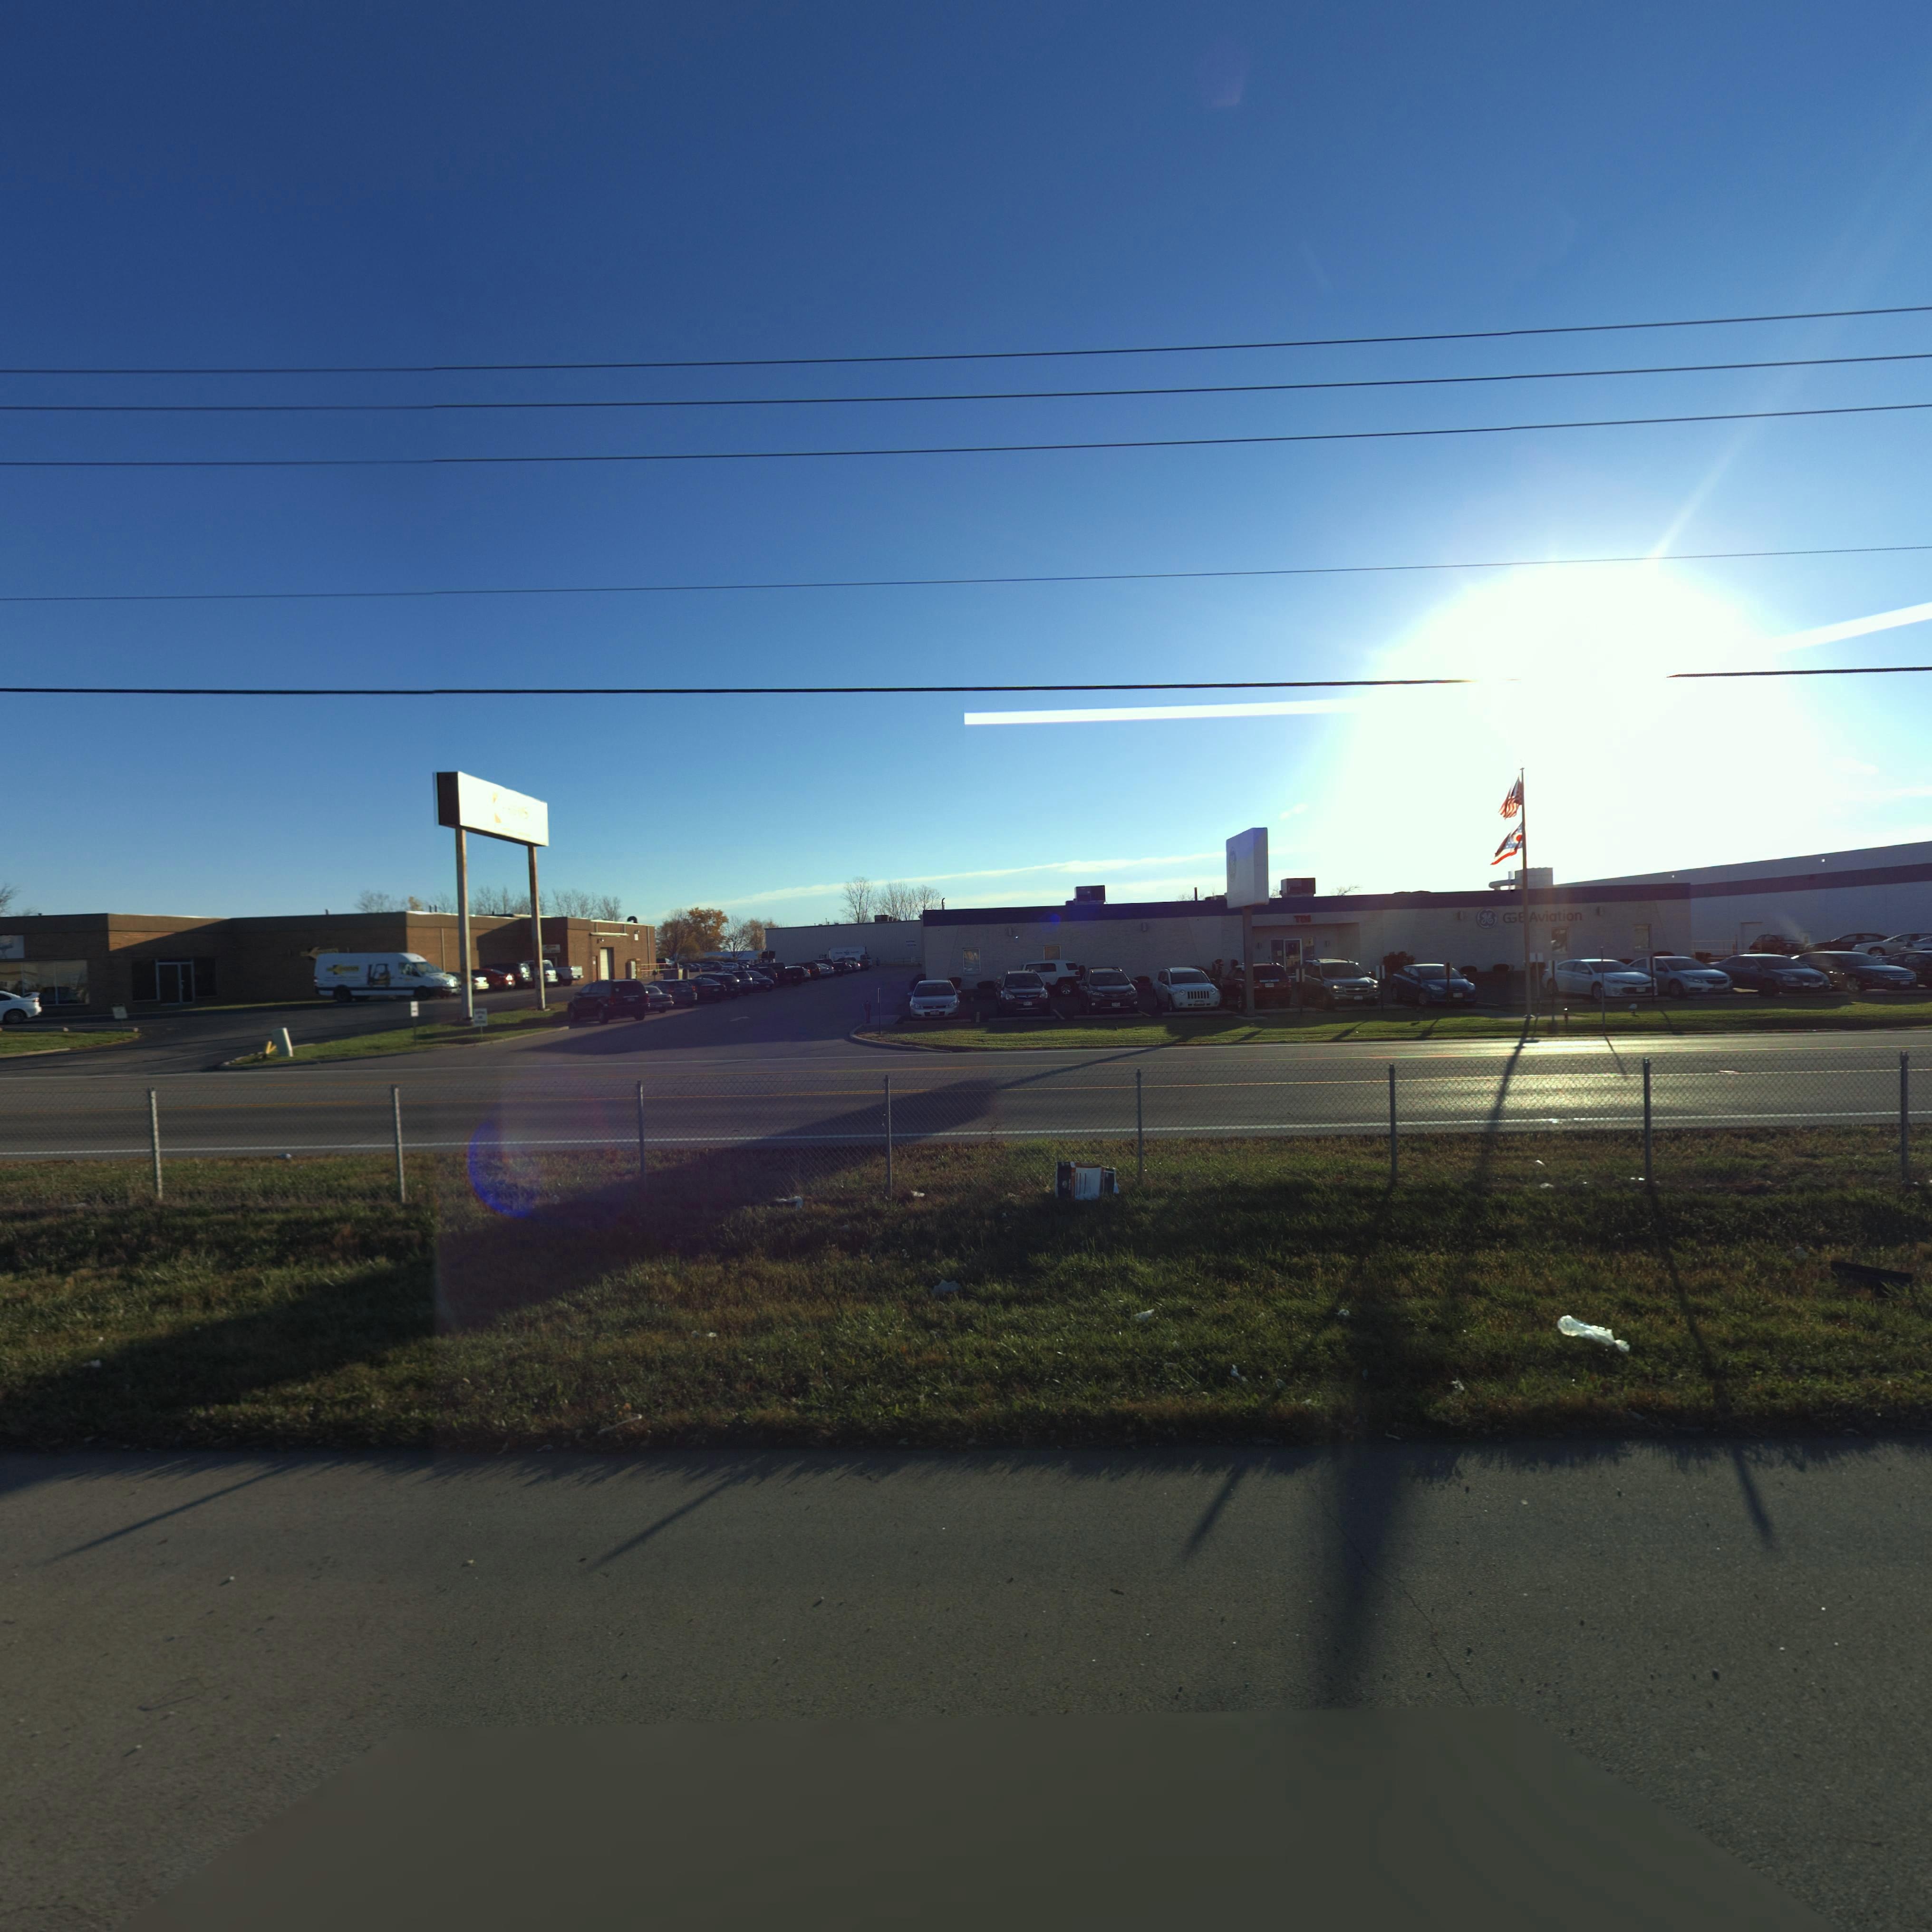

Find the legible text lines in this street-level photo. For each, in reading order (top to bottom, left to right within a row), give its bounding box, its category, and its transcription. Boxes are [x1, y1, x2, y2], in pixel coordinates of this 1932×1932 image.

[1293, 914, 1312, 924] StreetNumber: 701
[1479, 911, 1494, 925] BusinessName: gE
[1503, 911, 1524, 923] BusinessName: GE
[1529, 910, 1582, 923] BusinessName: Aviation